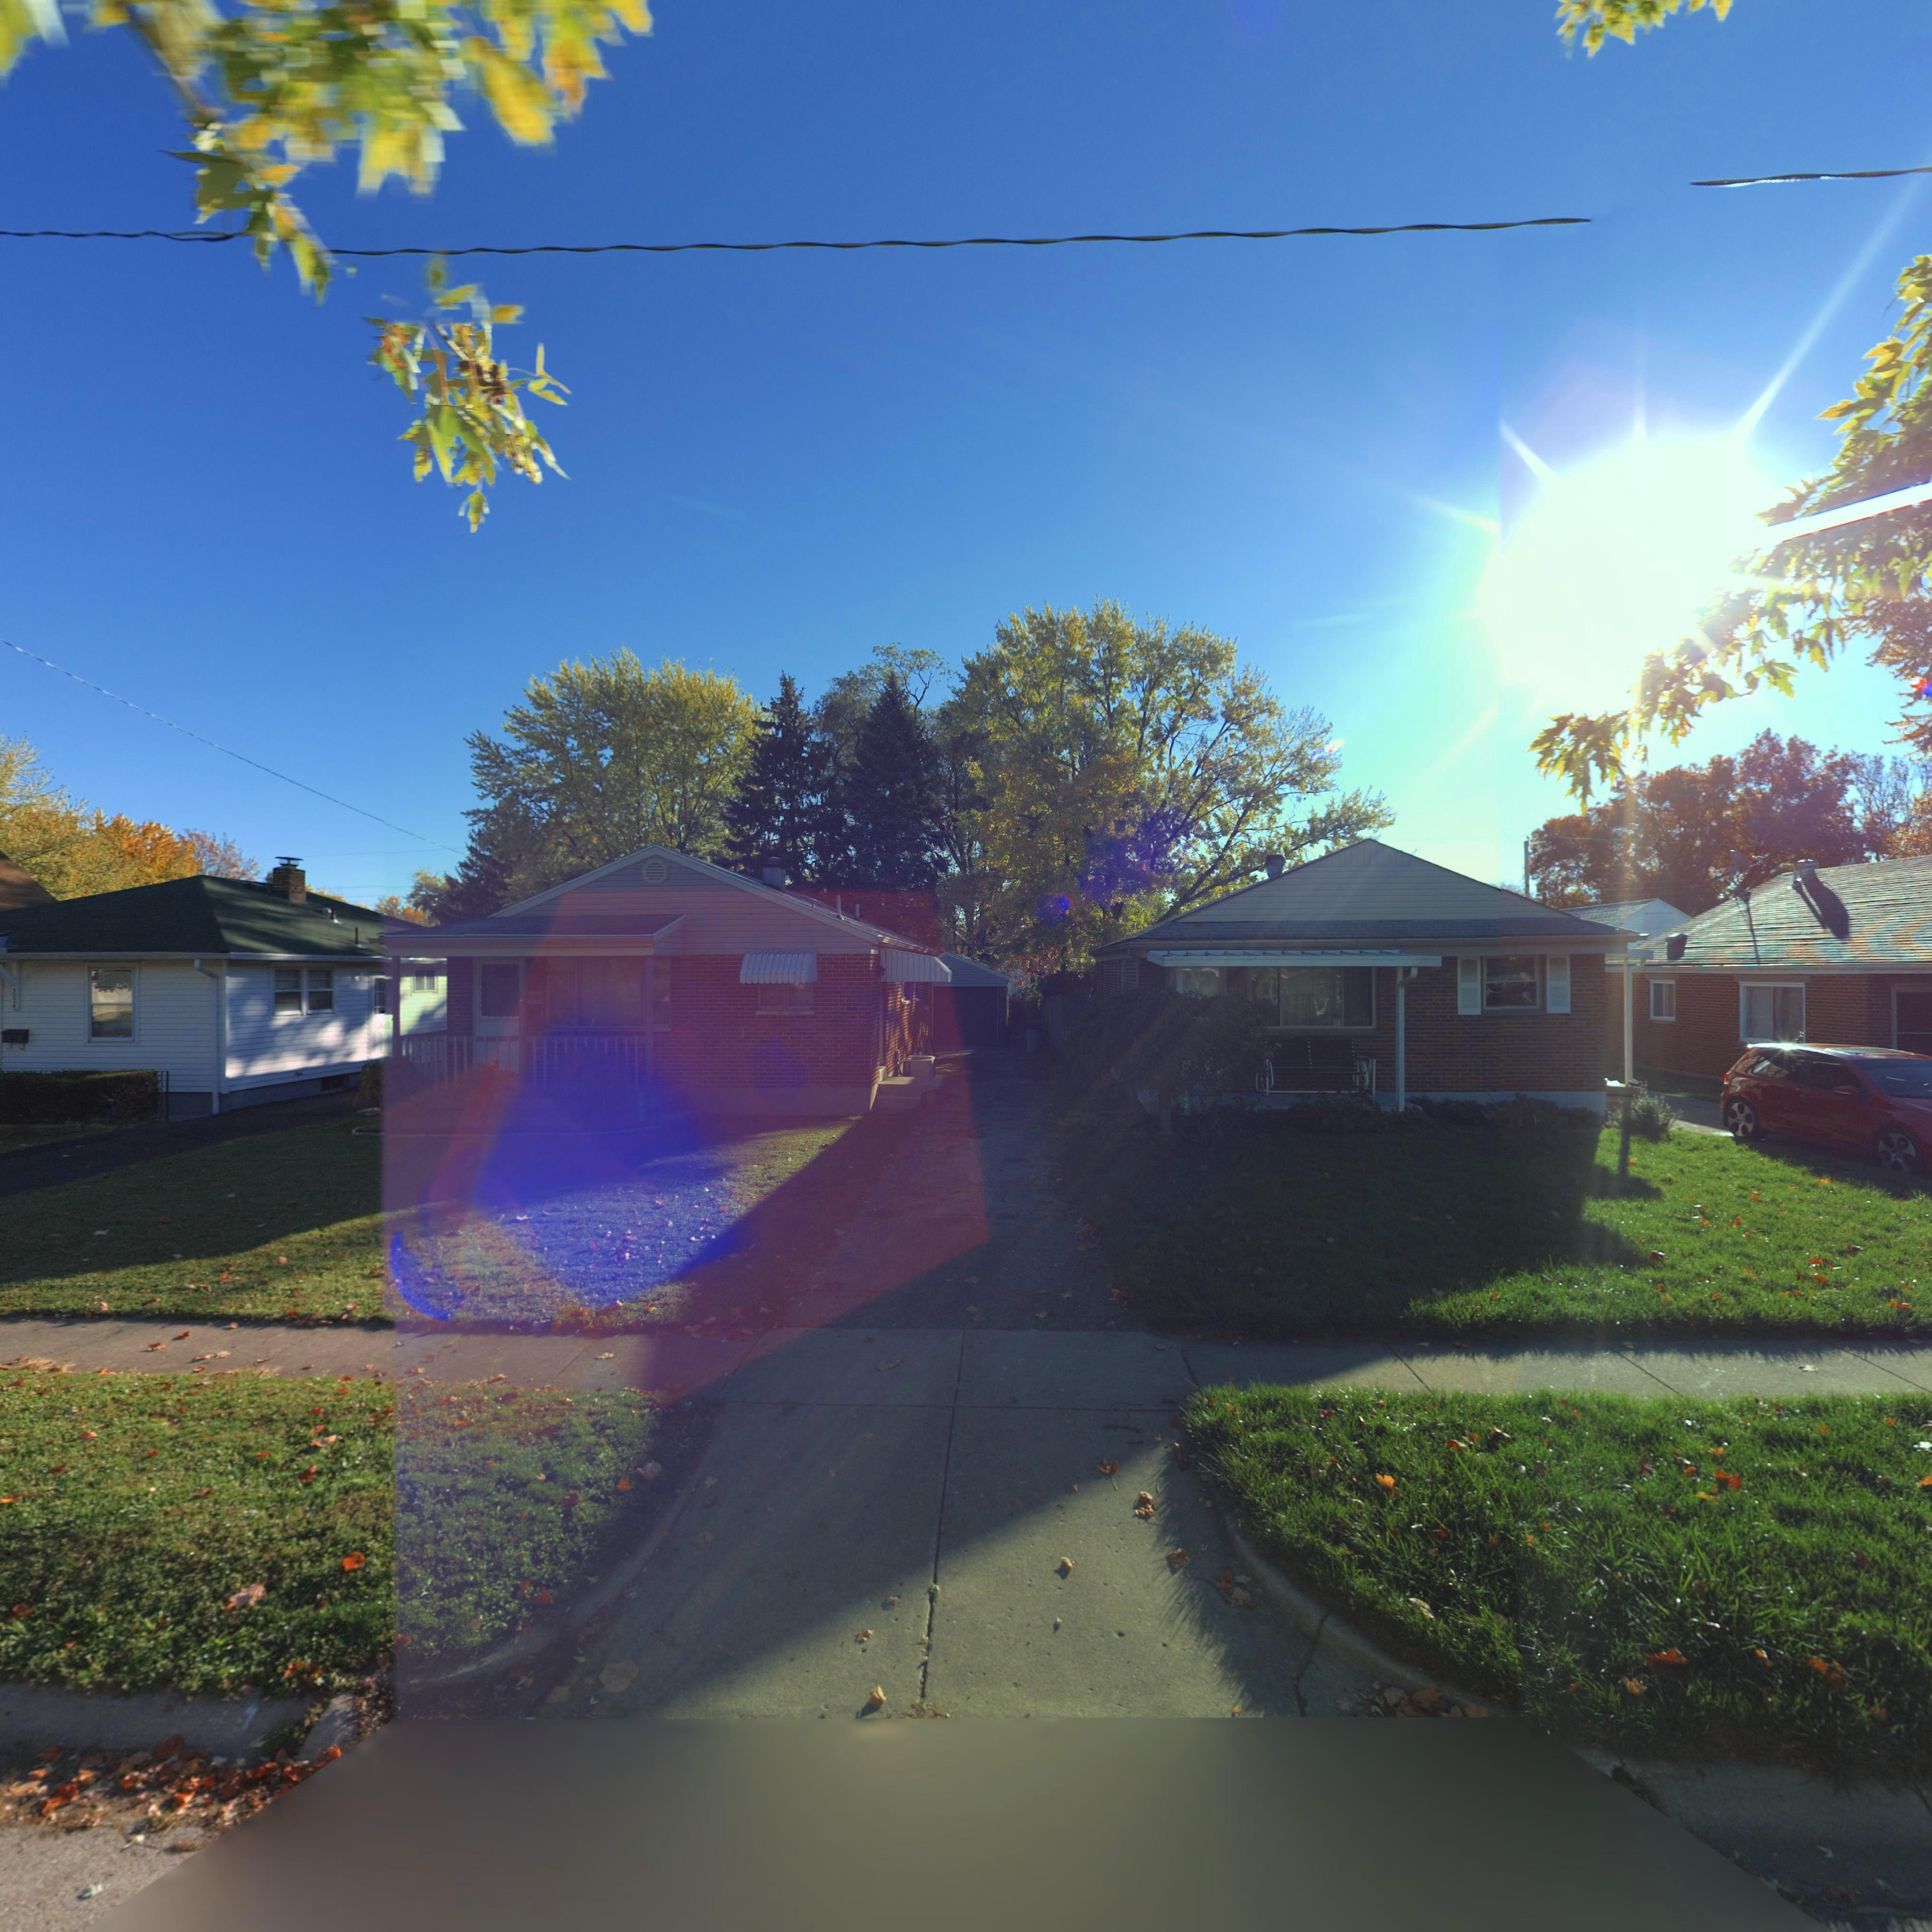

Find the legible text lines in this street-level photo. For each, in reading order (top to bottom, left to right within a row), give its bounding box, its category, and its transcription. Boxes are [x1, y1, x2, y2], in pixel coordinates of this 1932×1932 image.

[1229, 988, 1246, 994] StreetNumber: 5036
[526, 993, 542, 999] StreetNumber: 5***
[1183, 1094, 1188, 1109] StreetNumber: *3